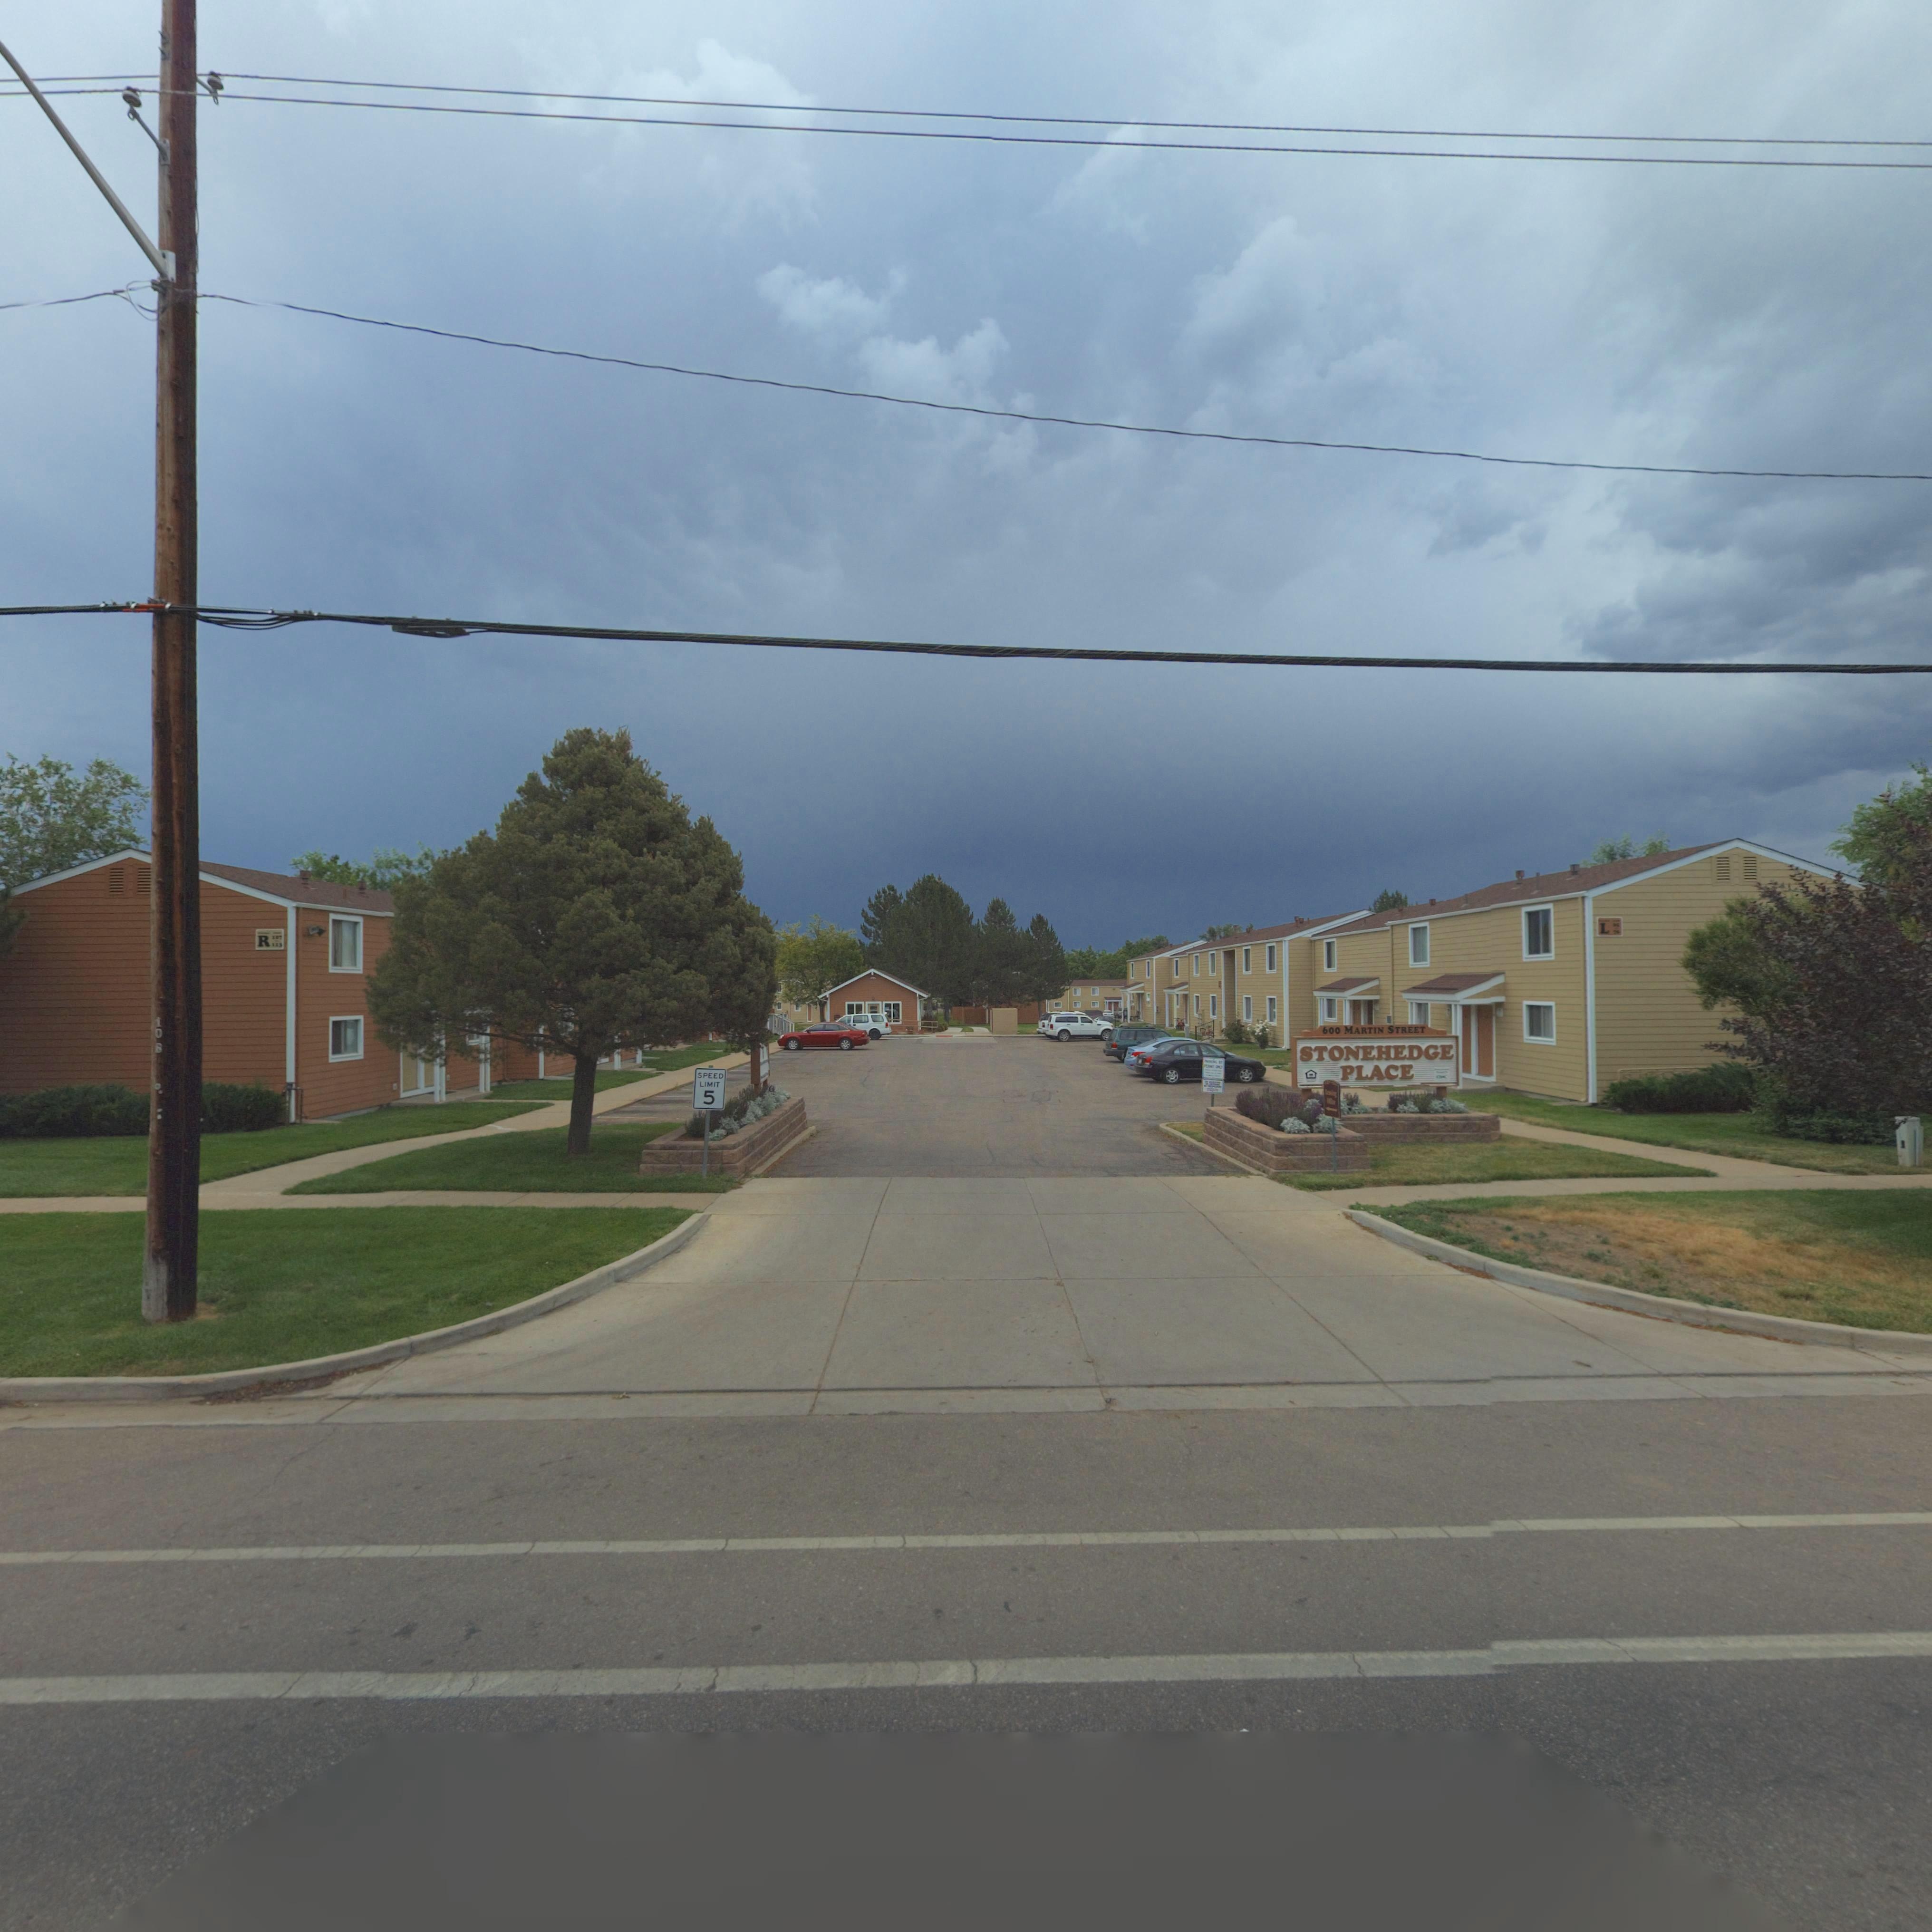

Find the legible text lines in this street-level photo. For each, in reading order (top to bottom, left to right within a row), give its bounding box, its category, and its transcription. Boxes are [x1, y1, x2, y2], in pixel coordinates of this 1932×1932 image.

[1322, 1026, 1341, 1034] StreetNumber: 600
[1344, 1025, 1425, 1034] StreetName: MARTIN STREET
[1299, 1044, 1454, 1062] BusinessName: STONEHEDGE
[1339, 1064, 1415, 1080] BusinessName: PLACE